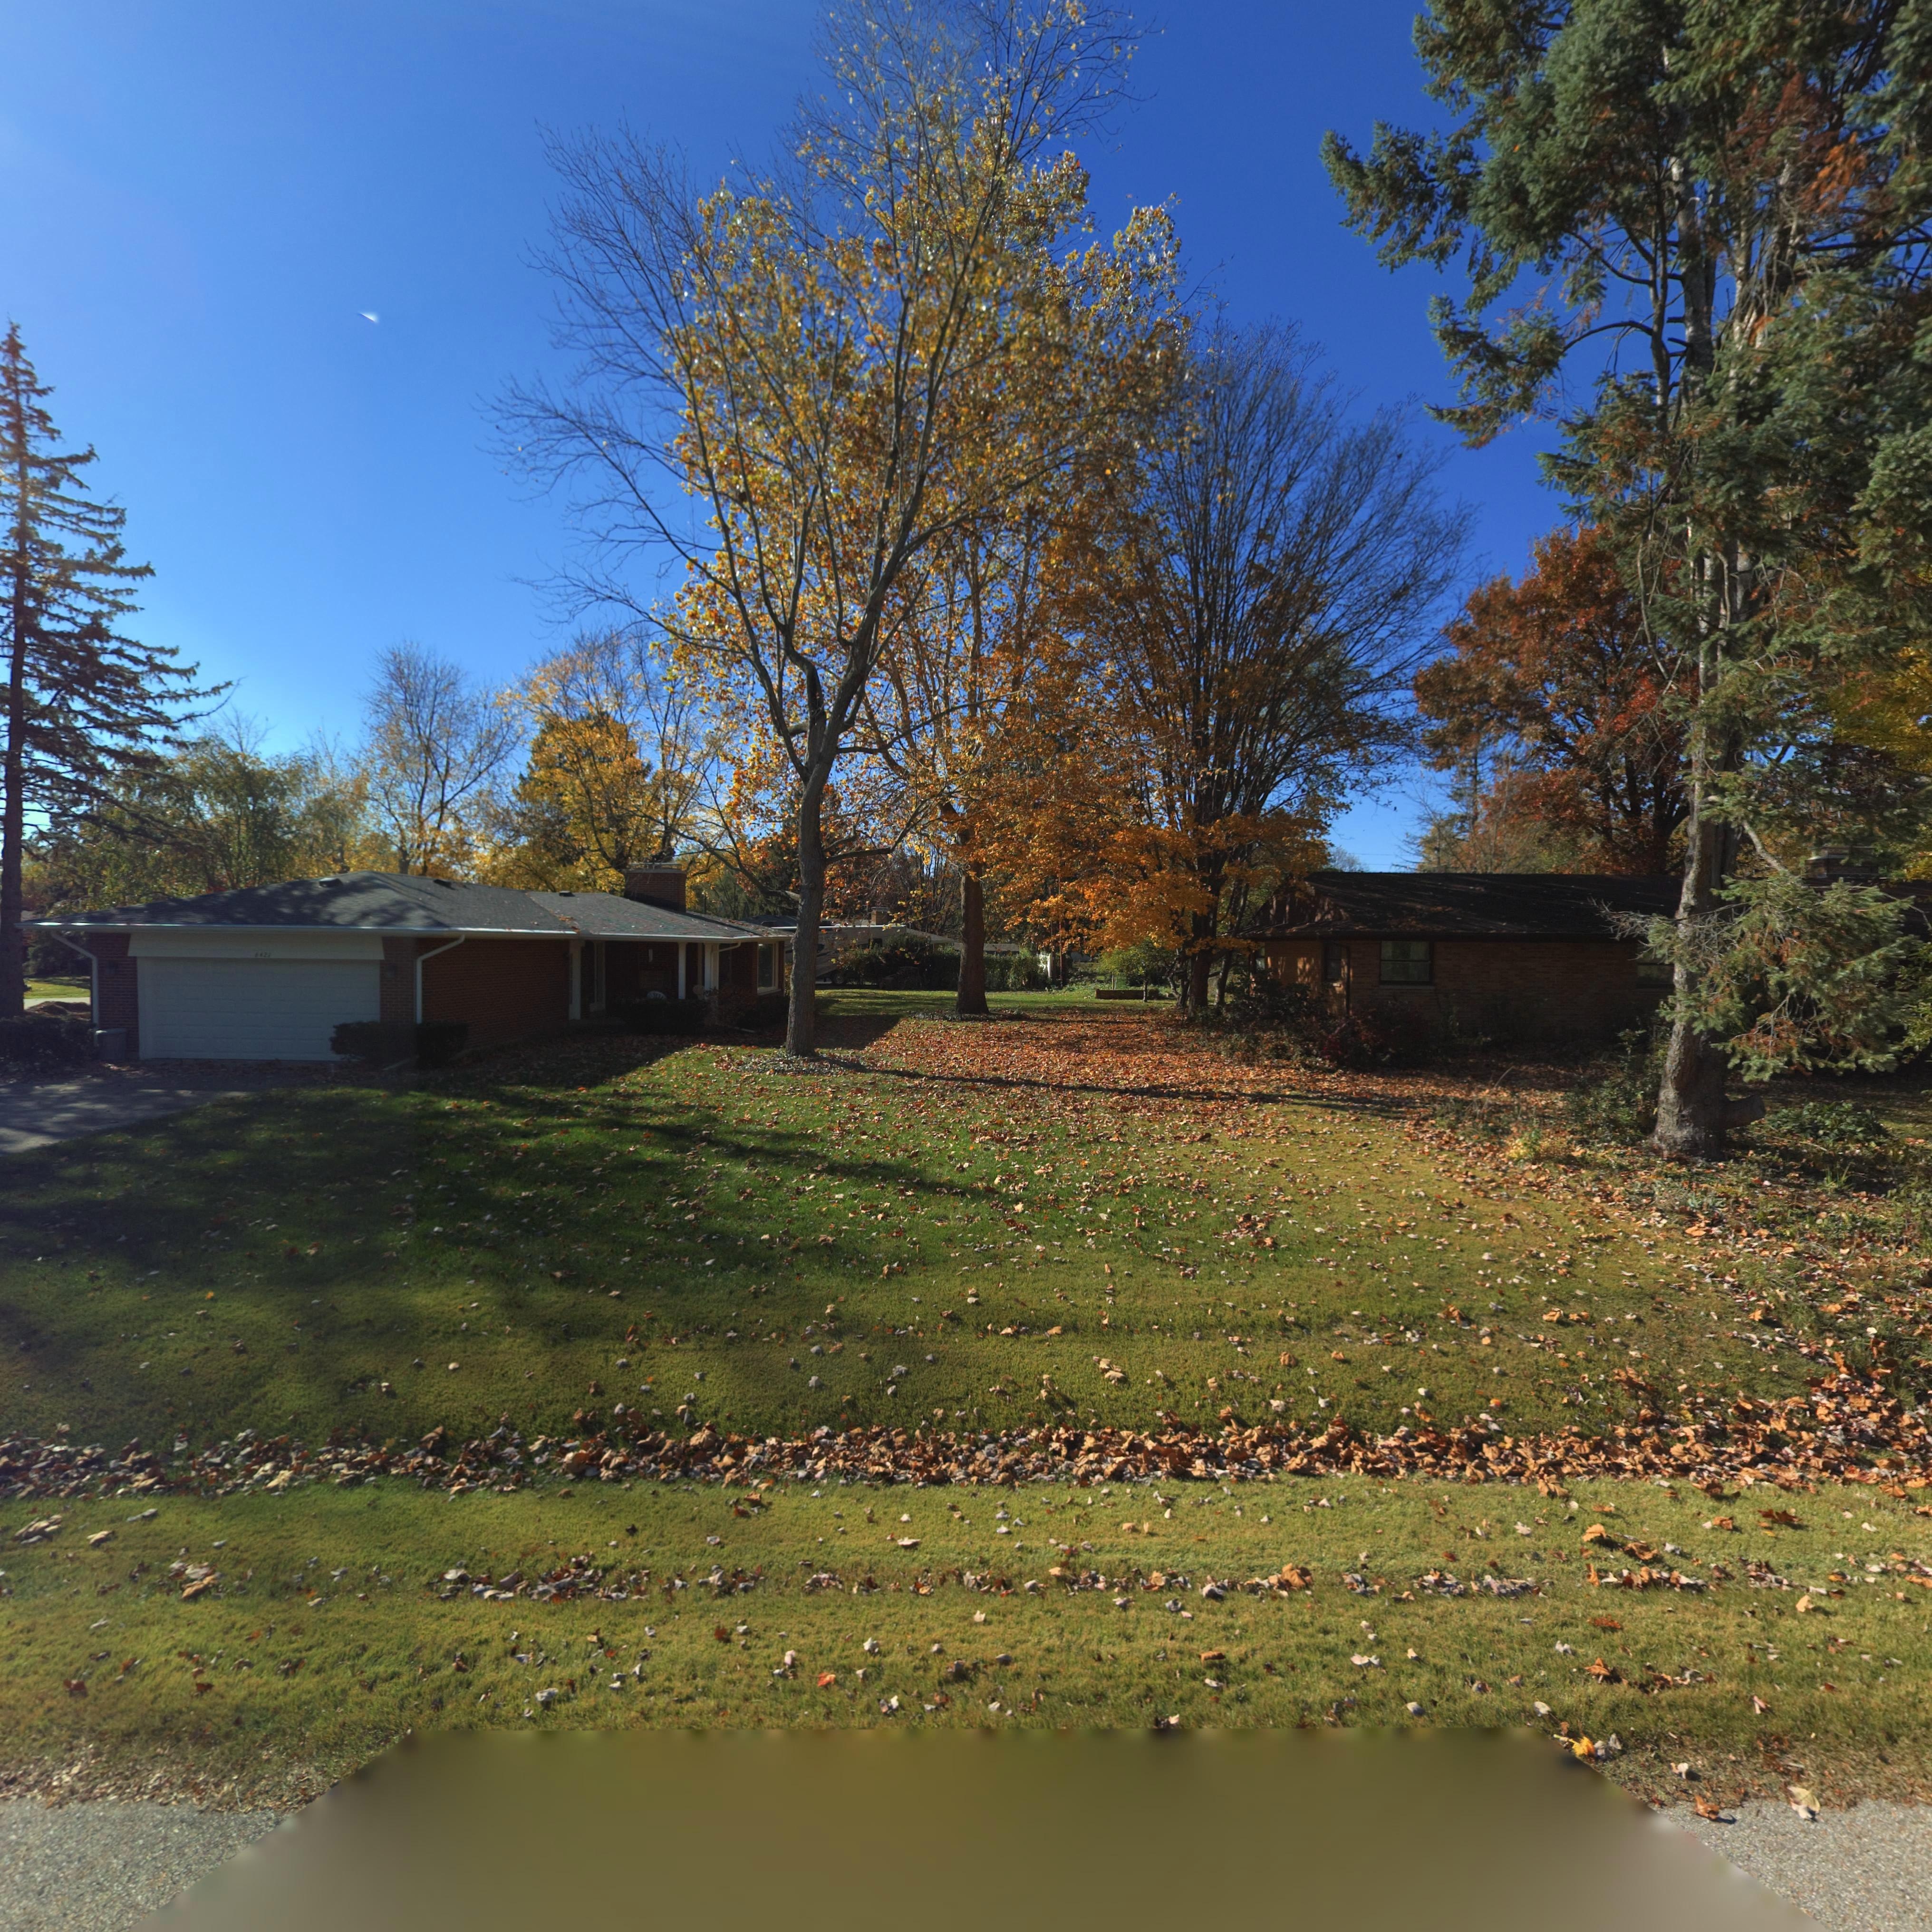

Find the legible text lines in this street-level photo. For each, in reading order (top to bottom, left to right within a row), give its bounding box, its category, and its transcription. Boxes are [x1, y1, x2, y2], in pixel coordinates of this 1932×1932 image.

[253, 951, 273, 959] StreetNumber: 6421